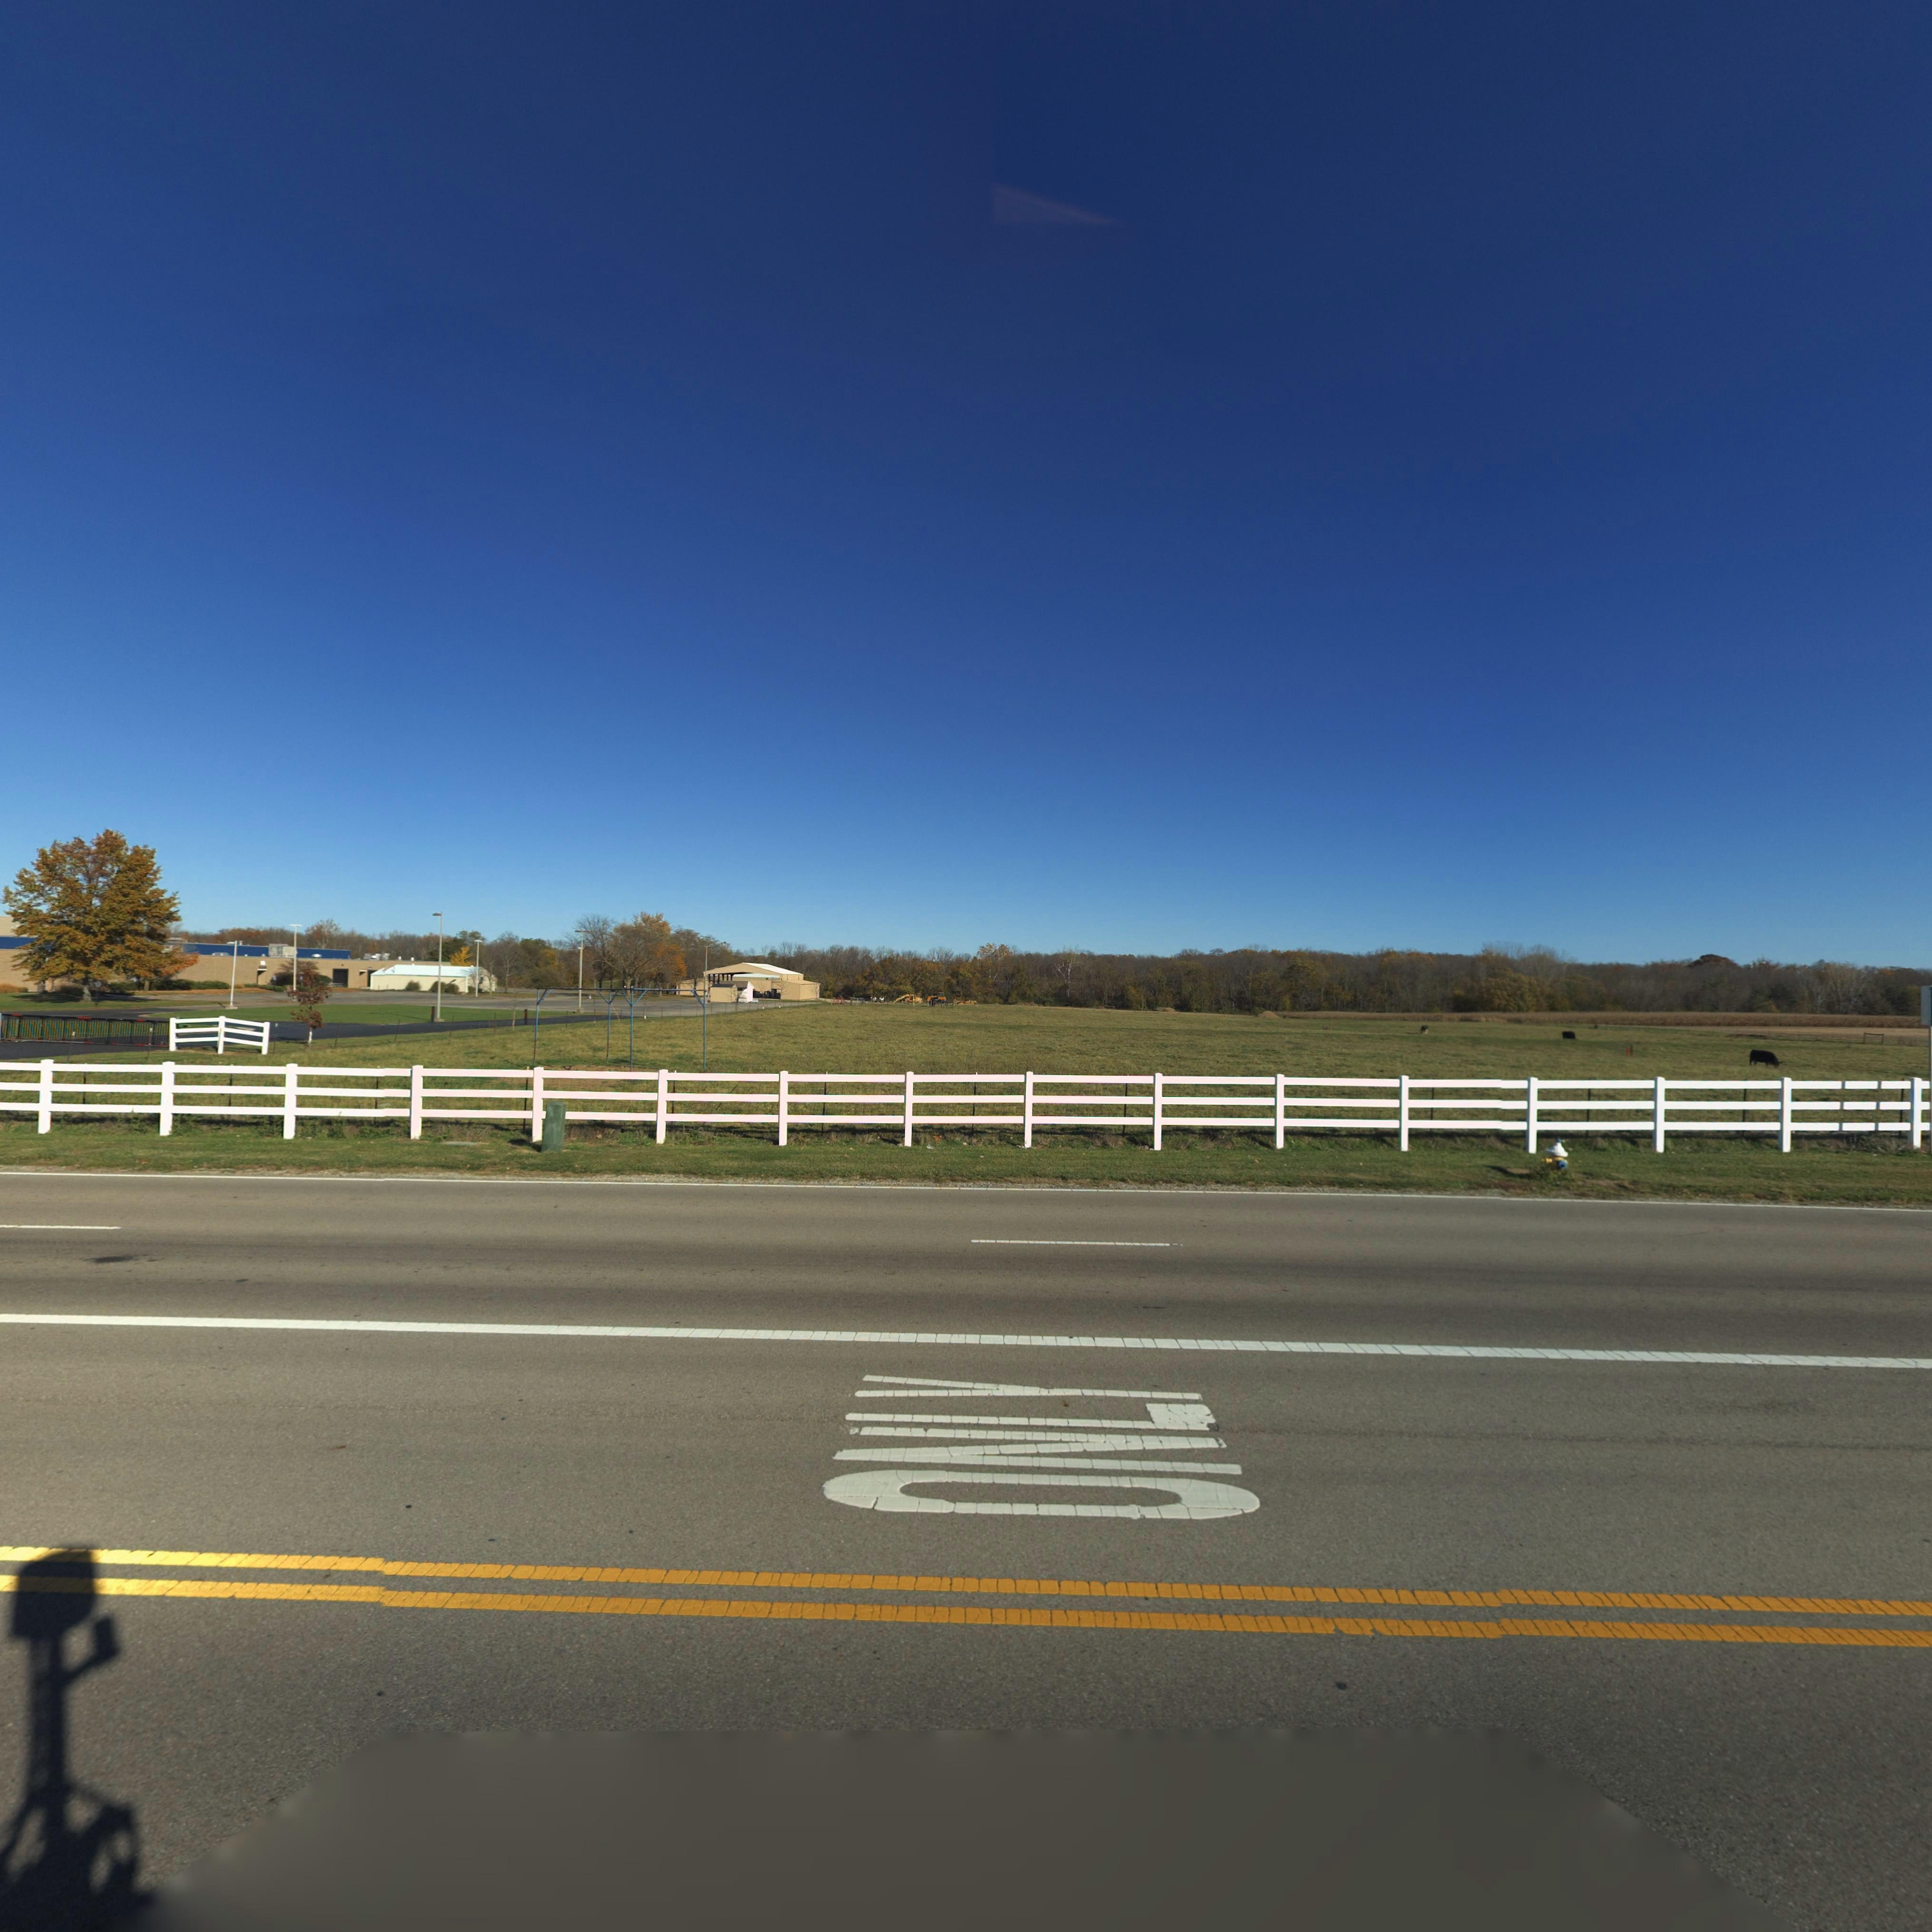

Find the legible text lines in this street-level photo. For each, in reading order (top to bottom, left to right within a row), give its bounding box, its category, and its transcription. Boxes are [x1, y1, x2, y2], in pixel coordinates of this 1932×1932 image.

[260, 960, 266, 966] StreetNumber: 16